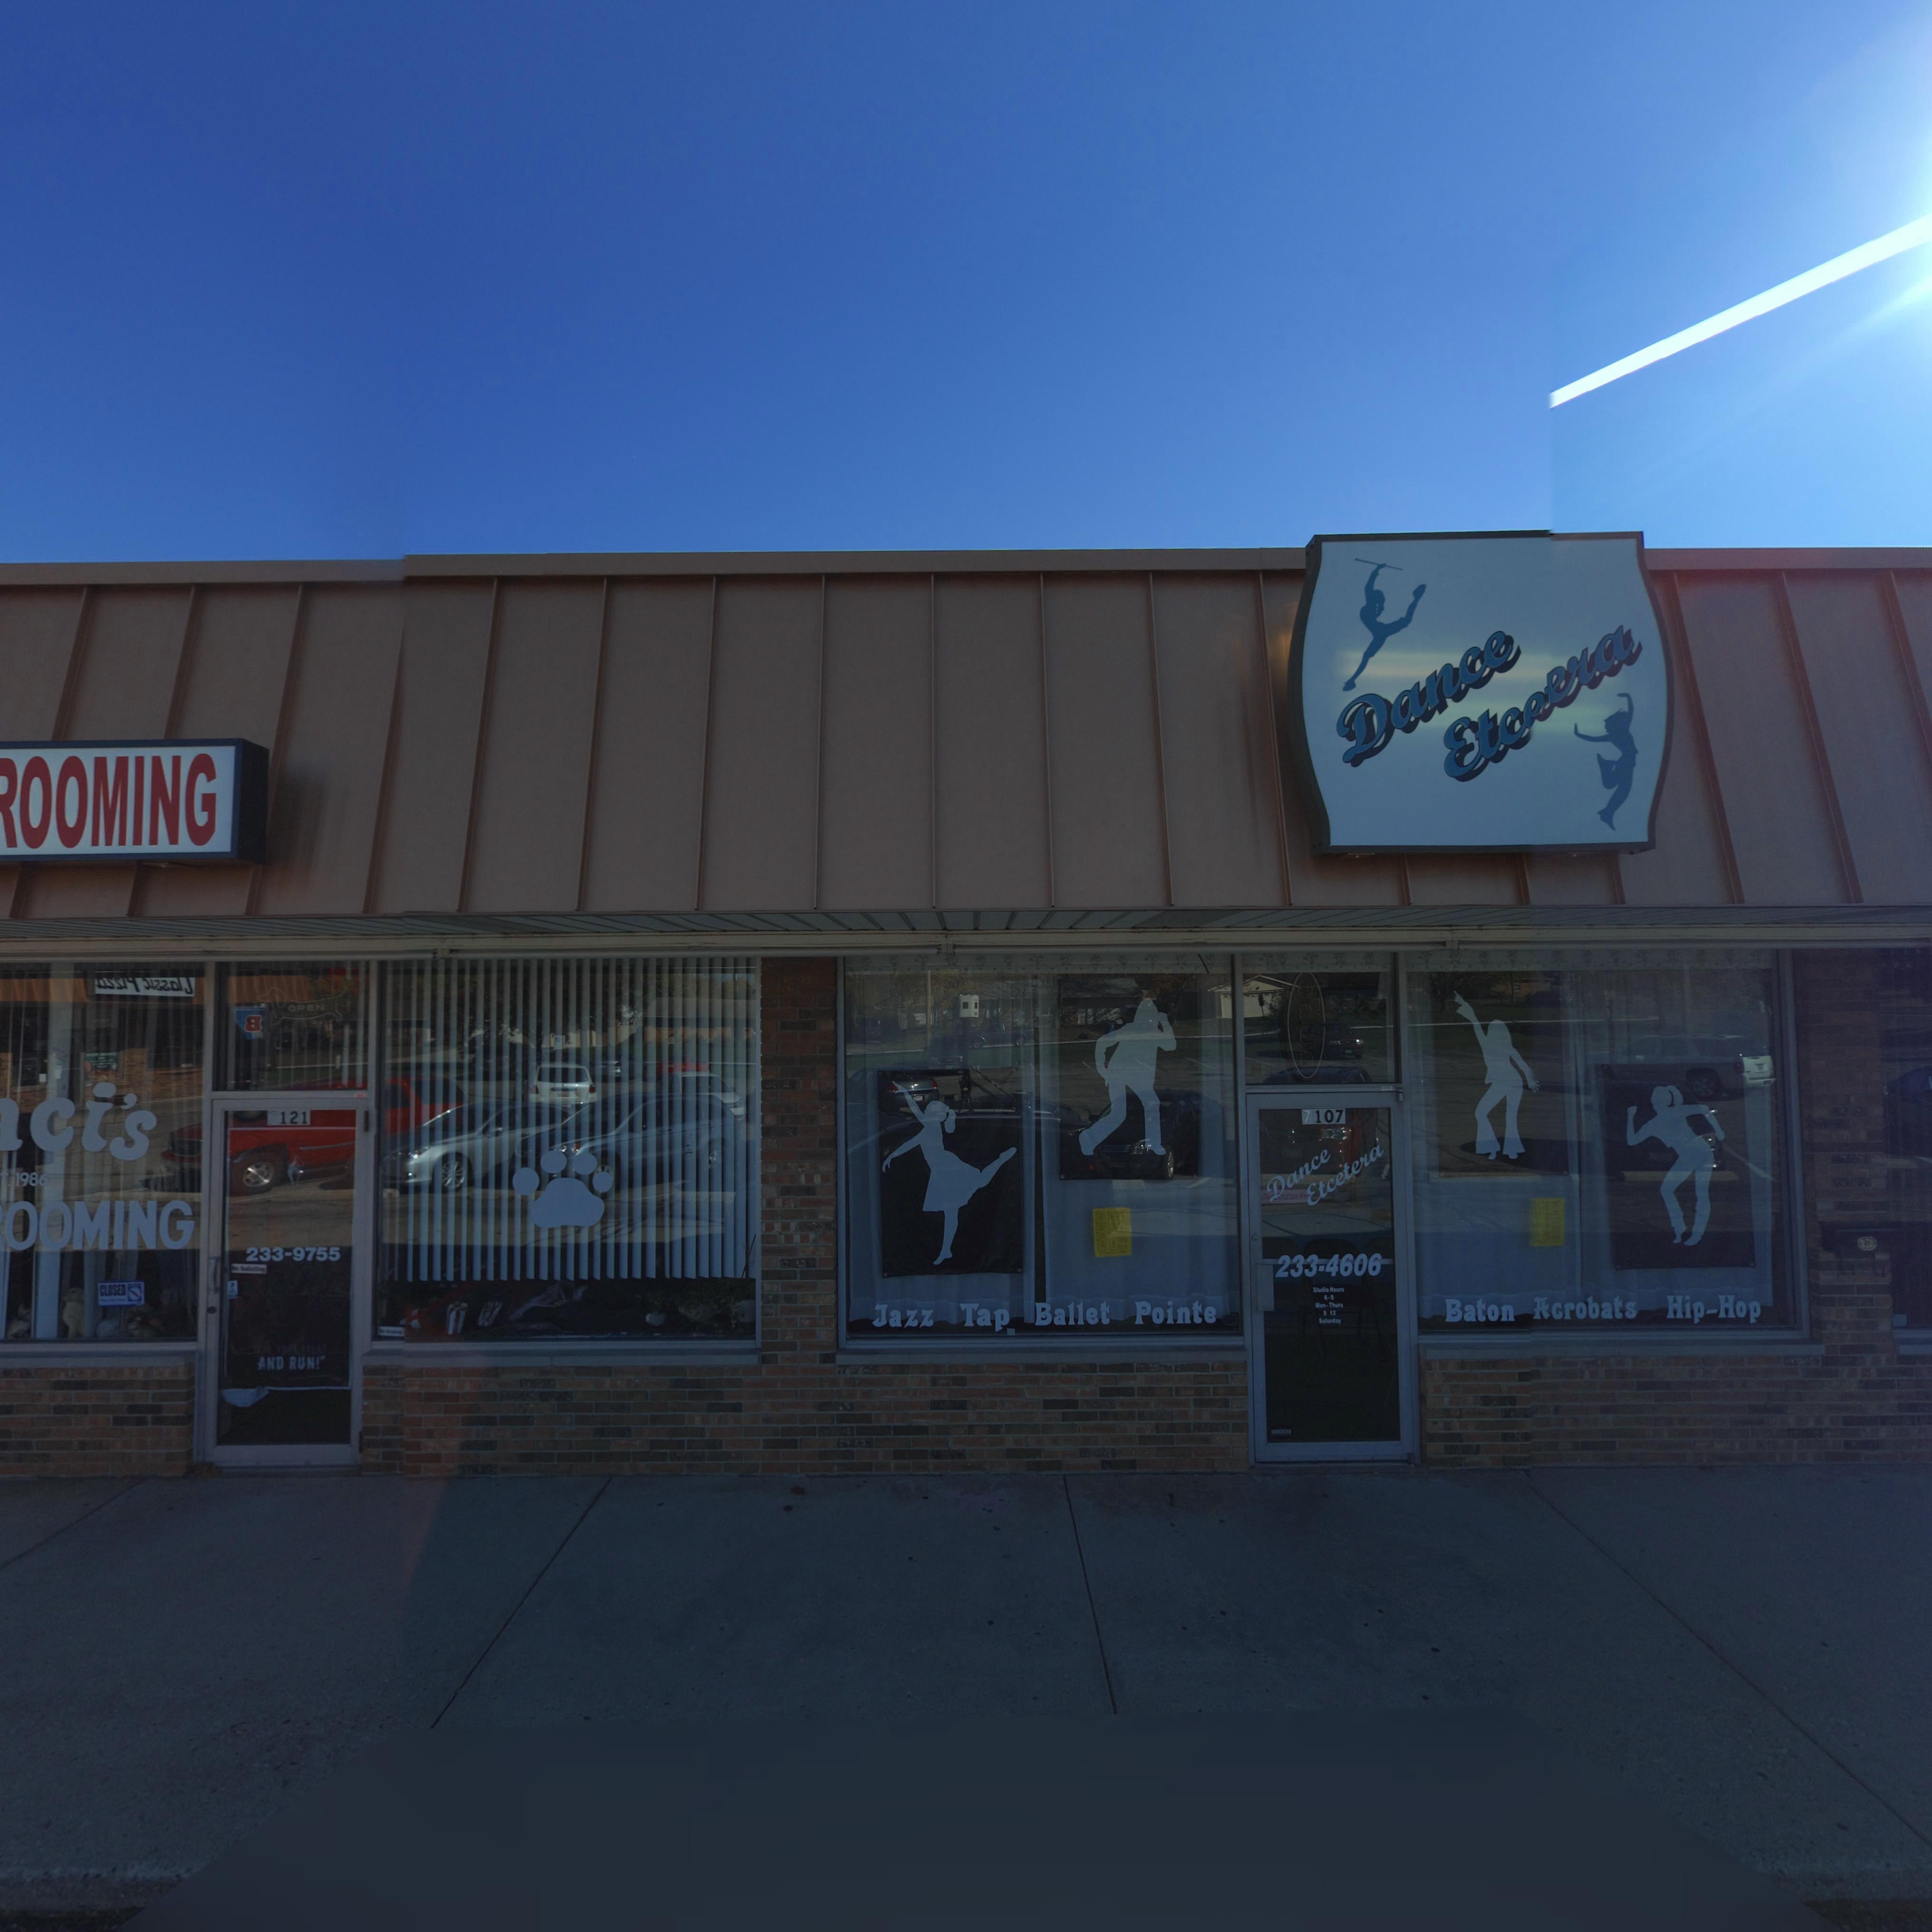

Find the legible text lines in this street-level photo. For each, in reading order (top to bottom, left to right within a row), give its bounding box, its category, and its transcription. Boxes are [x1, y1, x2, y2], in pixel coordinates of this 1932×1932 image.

[1334, 628, 1516, 767] BusinessName: Dance
[1441, 622, 1638, 782] BusinessName: Etc**ra
[18, 752, 218, 850] BusinessName: OOMING
[28, 1080, 160, 1165] None: ci's
[267, 1110, 309, 1126] StreetNumber: 7121
[1303, 1108, 1344, 1124] StreetNumber: 7107
[1265, 1147, 1332, 1204] BusinessName: Dance
[1304, 1142, 1386, 1207] BusinessName: Etcetera
[1443, 1297, 1516, 1323] None: Baton